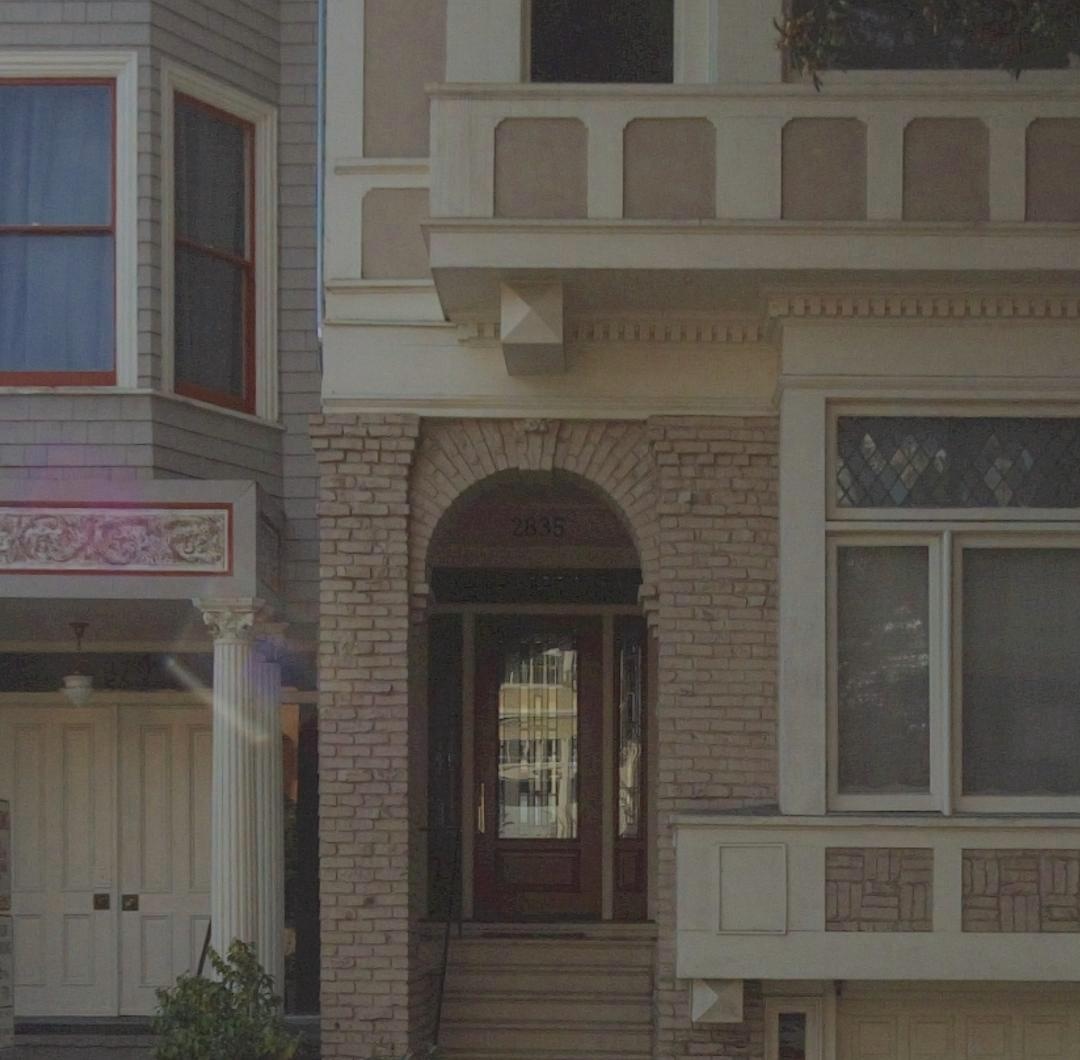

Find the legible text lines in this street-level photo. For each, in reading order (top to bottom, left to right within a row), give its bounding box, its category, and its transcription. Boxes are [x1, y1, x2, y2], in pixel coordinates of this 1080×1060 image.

[510, 514, 566, 540] StreetNumber: 2835